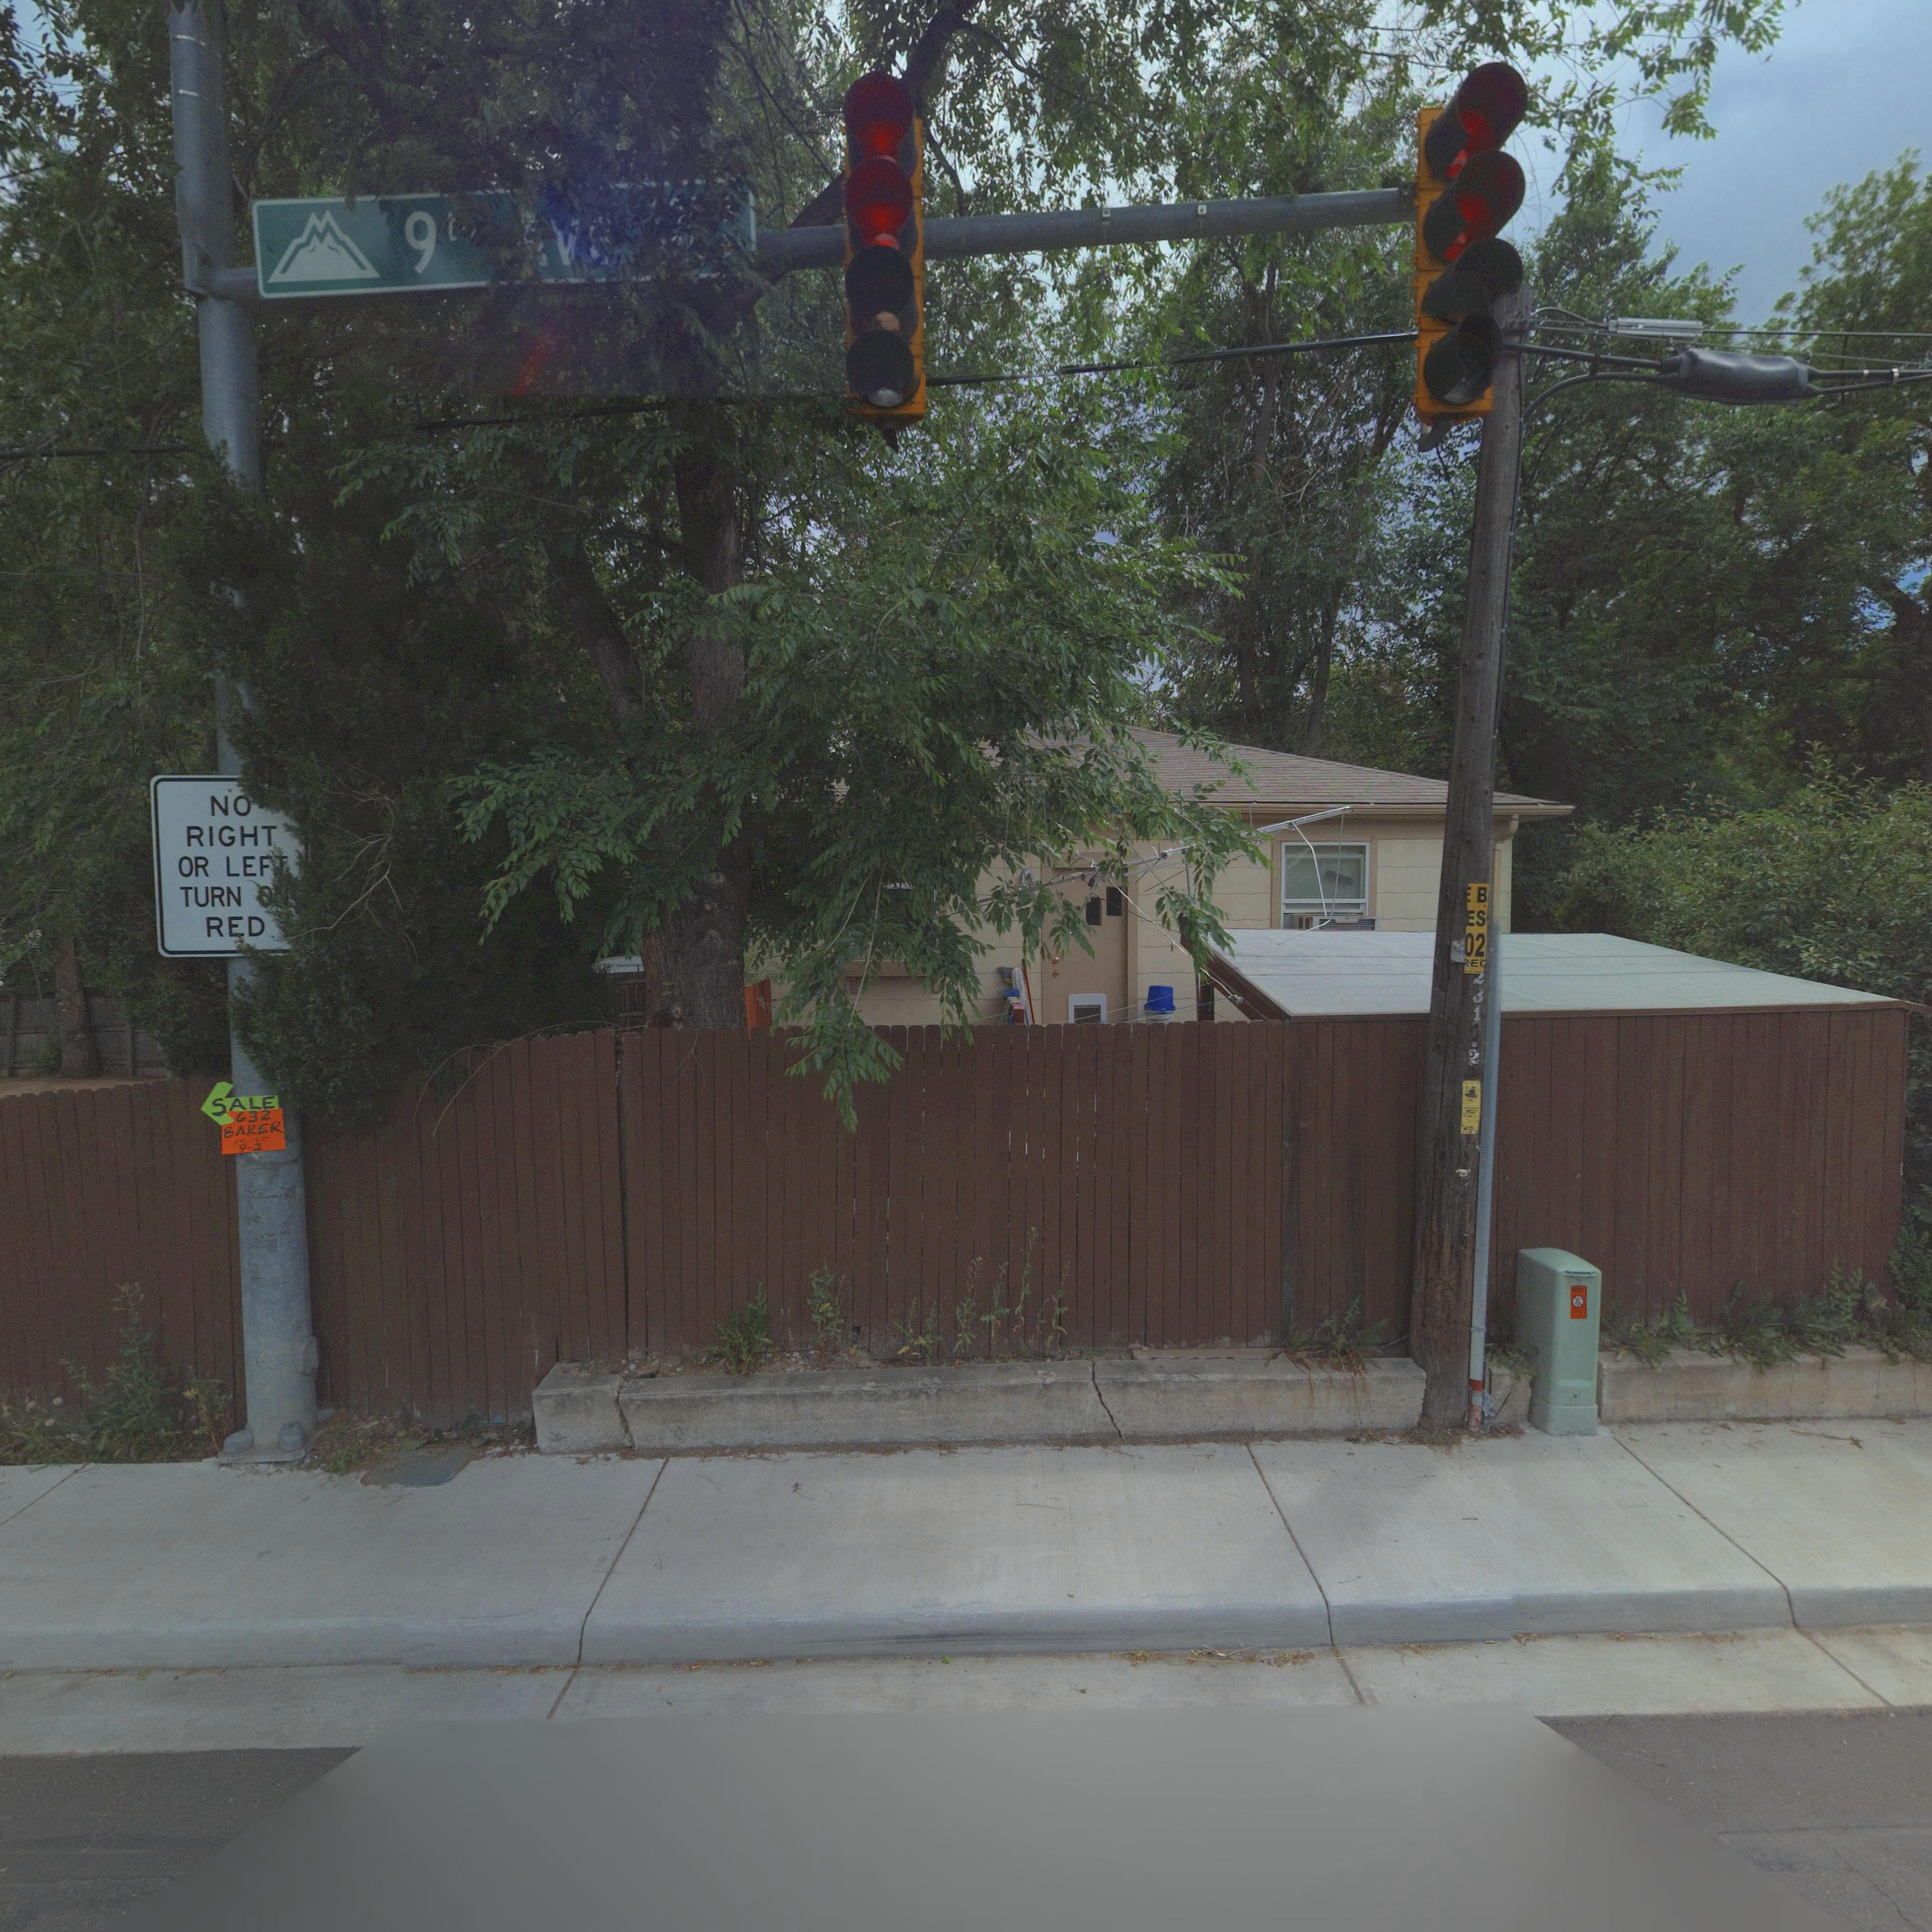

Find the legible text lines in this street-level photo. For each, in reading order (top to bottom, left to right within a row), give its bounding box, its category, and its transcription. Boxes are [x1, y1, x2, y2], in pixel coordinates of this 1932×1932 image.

[401, 201, 617, 277] StreetName: 9t* **